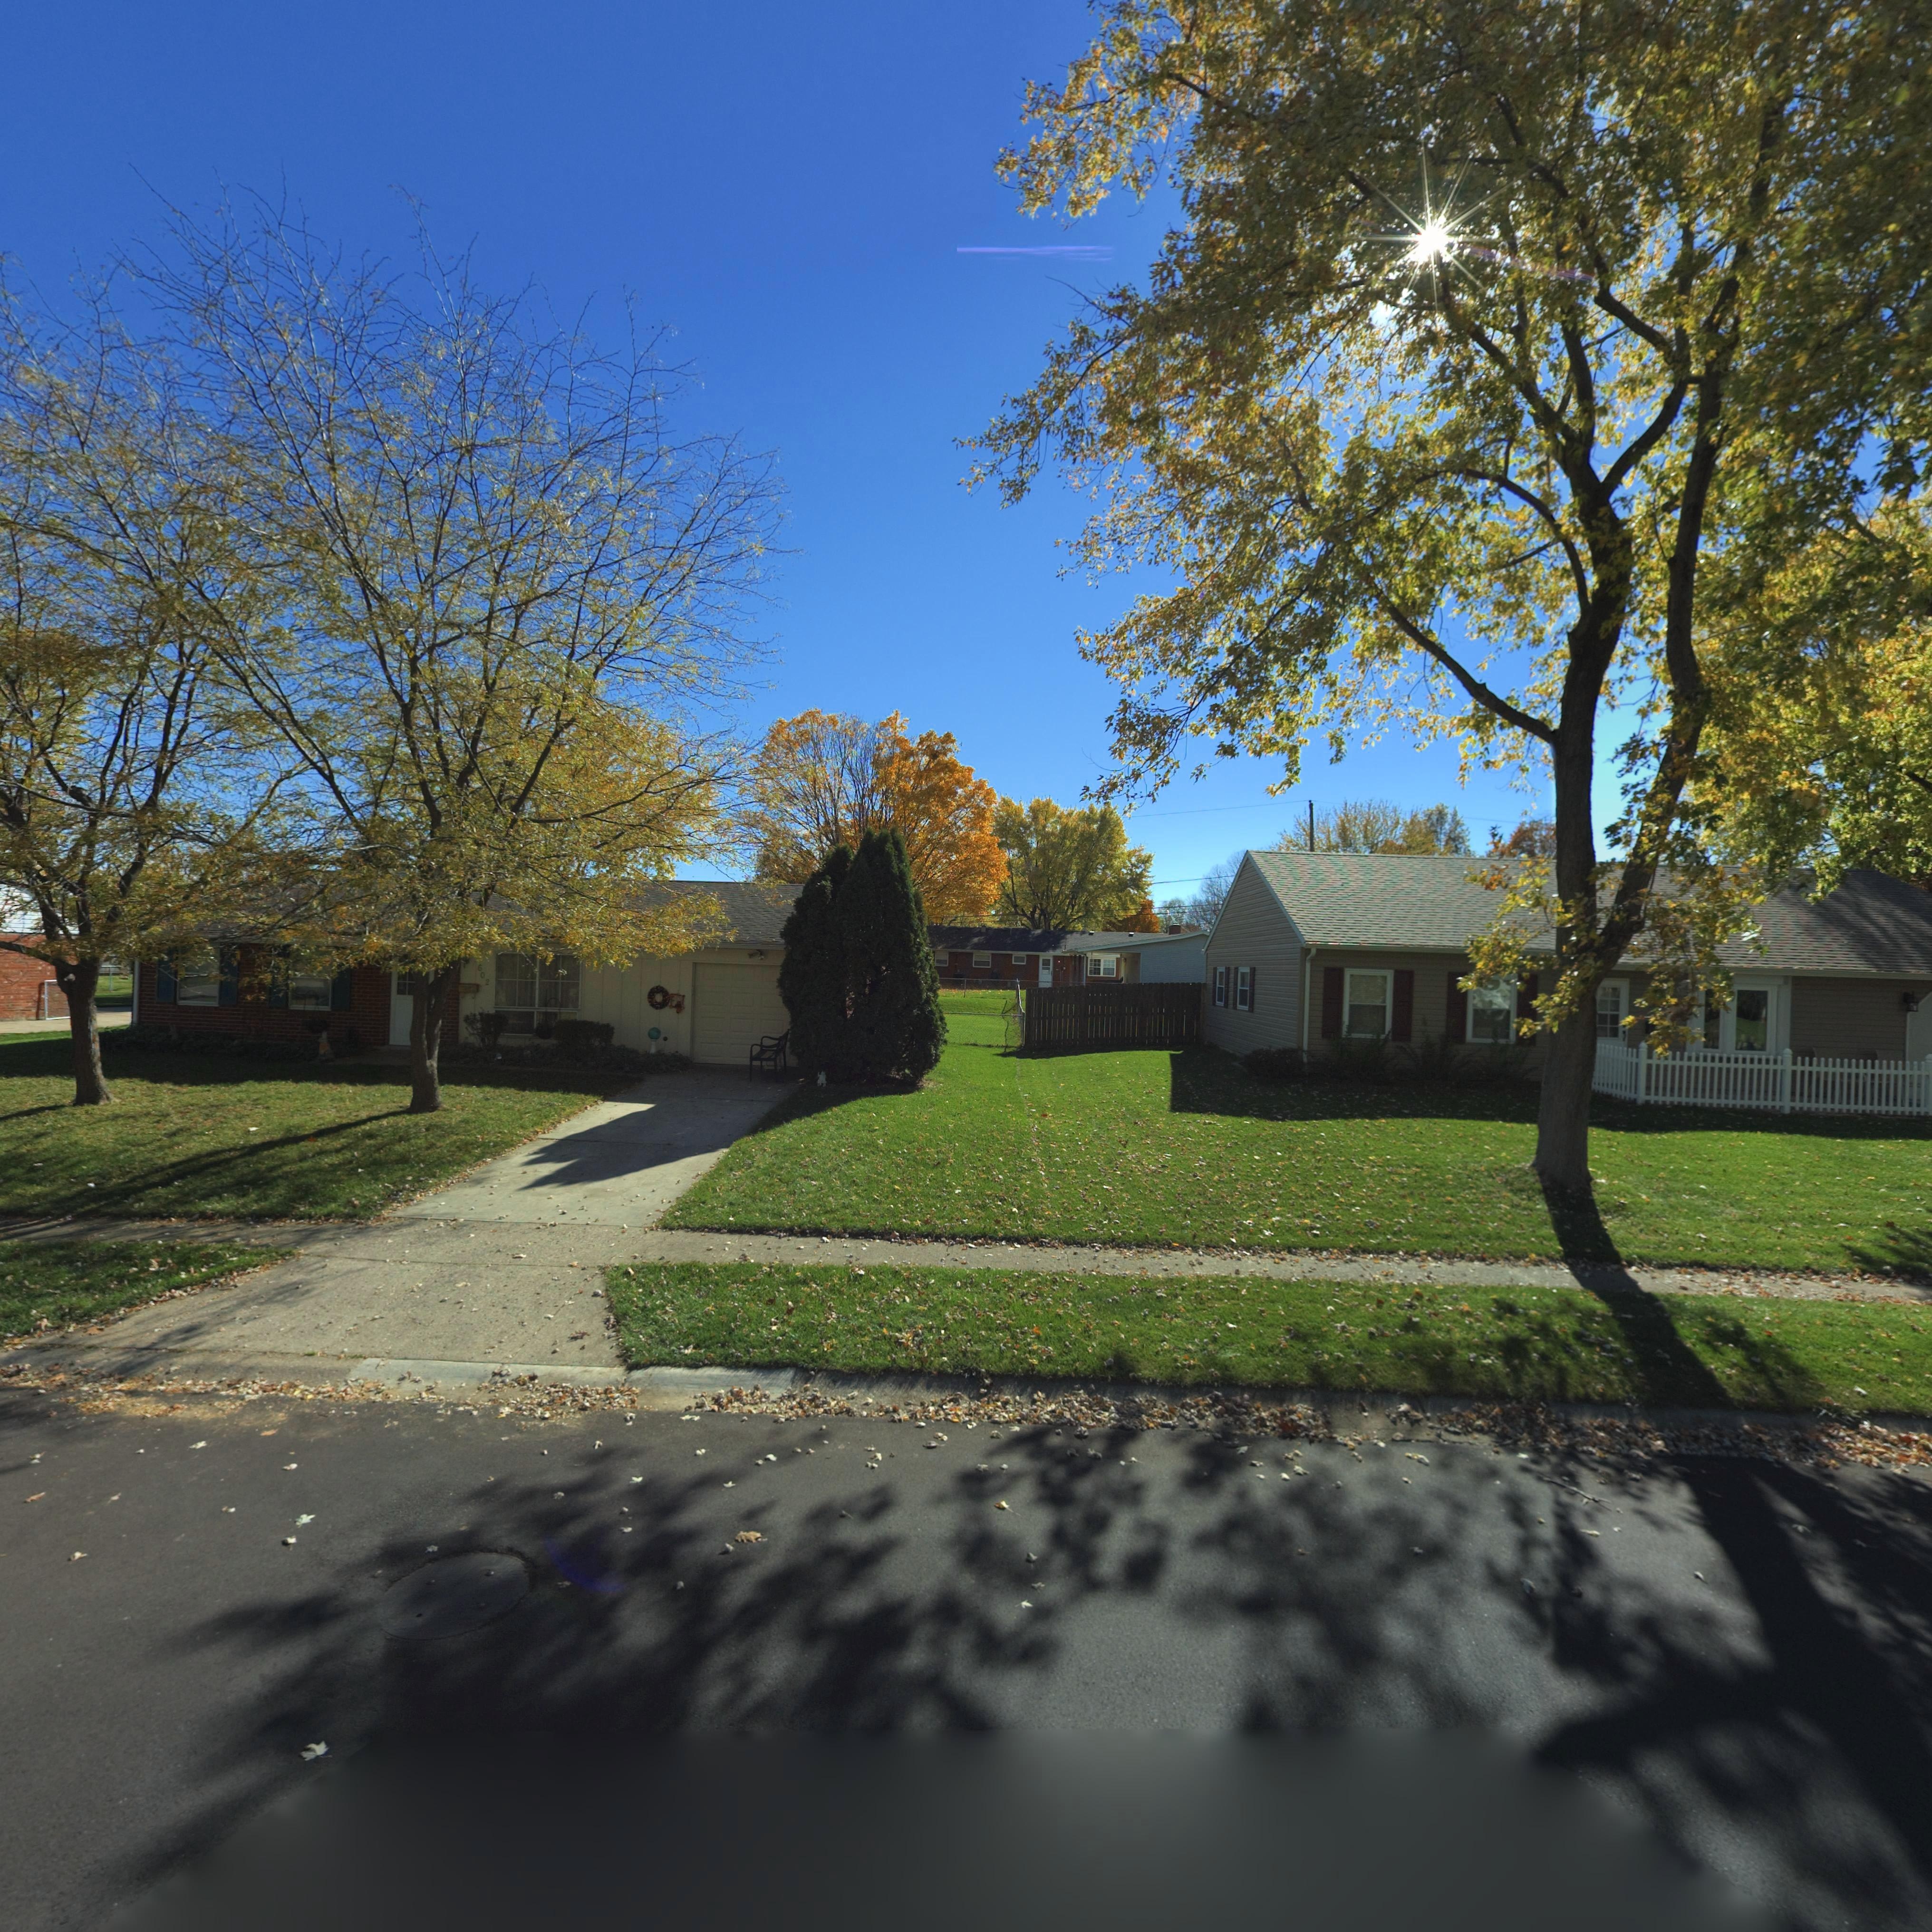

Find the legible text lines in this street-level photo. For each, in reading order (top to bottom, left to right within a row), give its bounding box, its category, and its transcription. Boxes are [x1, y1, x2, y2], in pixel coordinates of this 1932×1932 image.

[477, 964, 490, 985] StreetNumber: 602